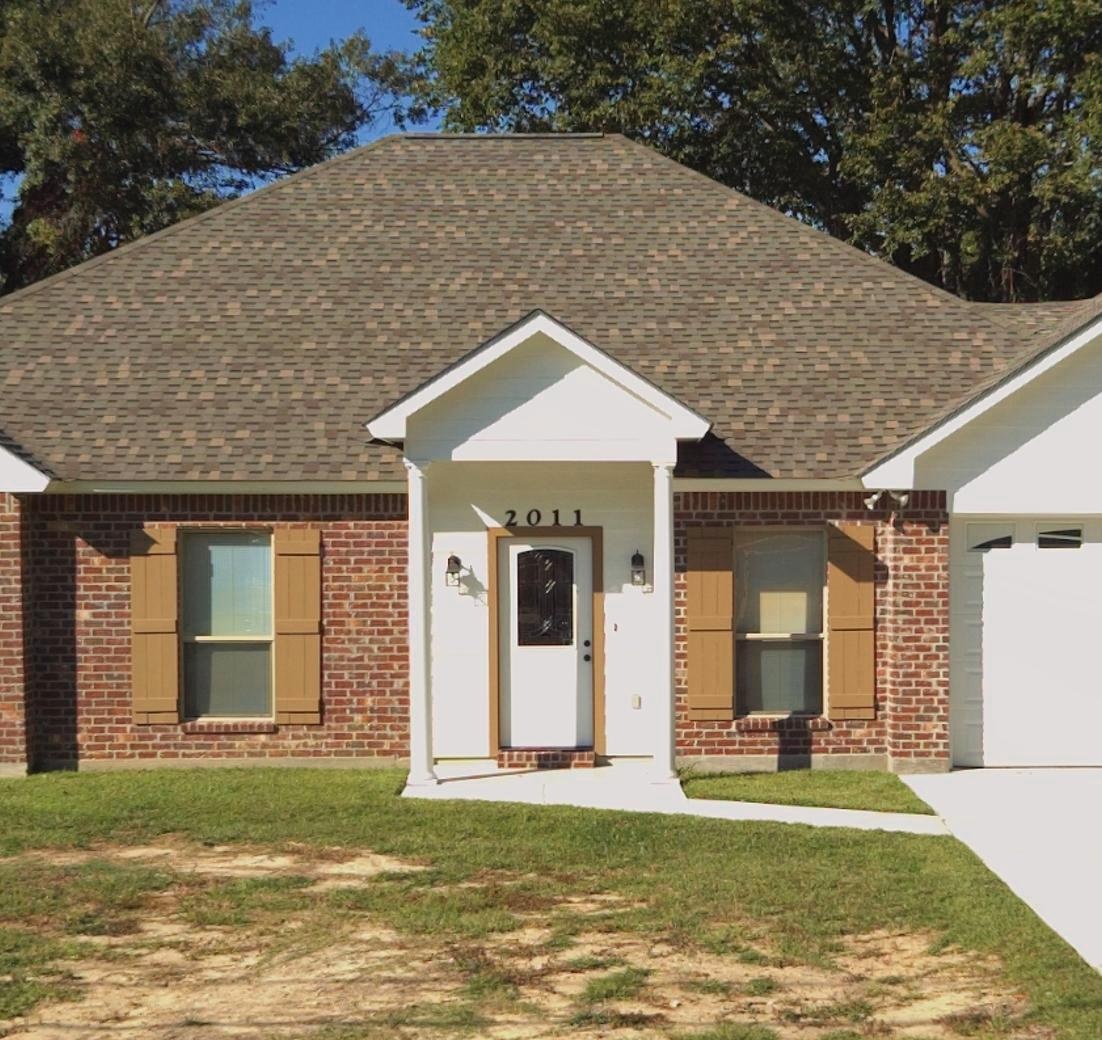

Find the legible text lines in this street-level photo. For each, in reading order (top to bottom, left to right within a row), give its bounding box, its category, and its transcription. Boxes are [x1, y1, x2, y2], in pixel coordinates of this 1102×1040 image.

[503, 508, 585, 527] StreetNumber: 2011